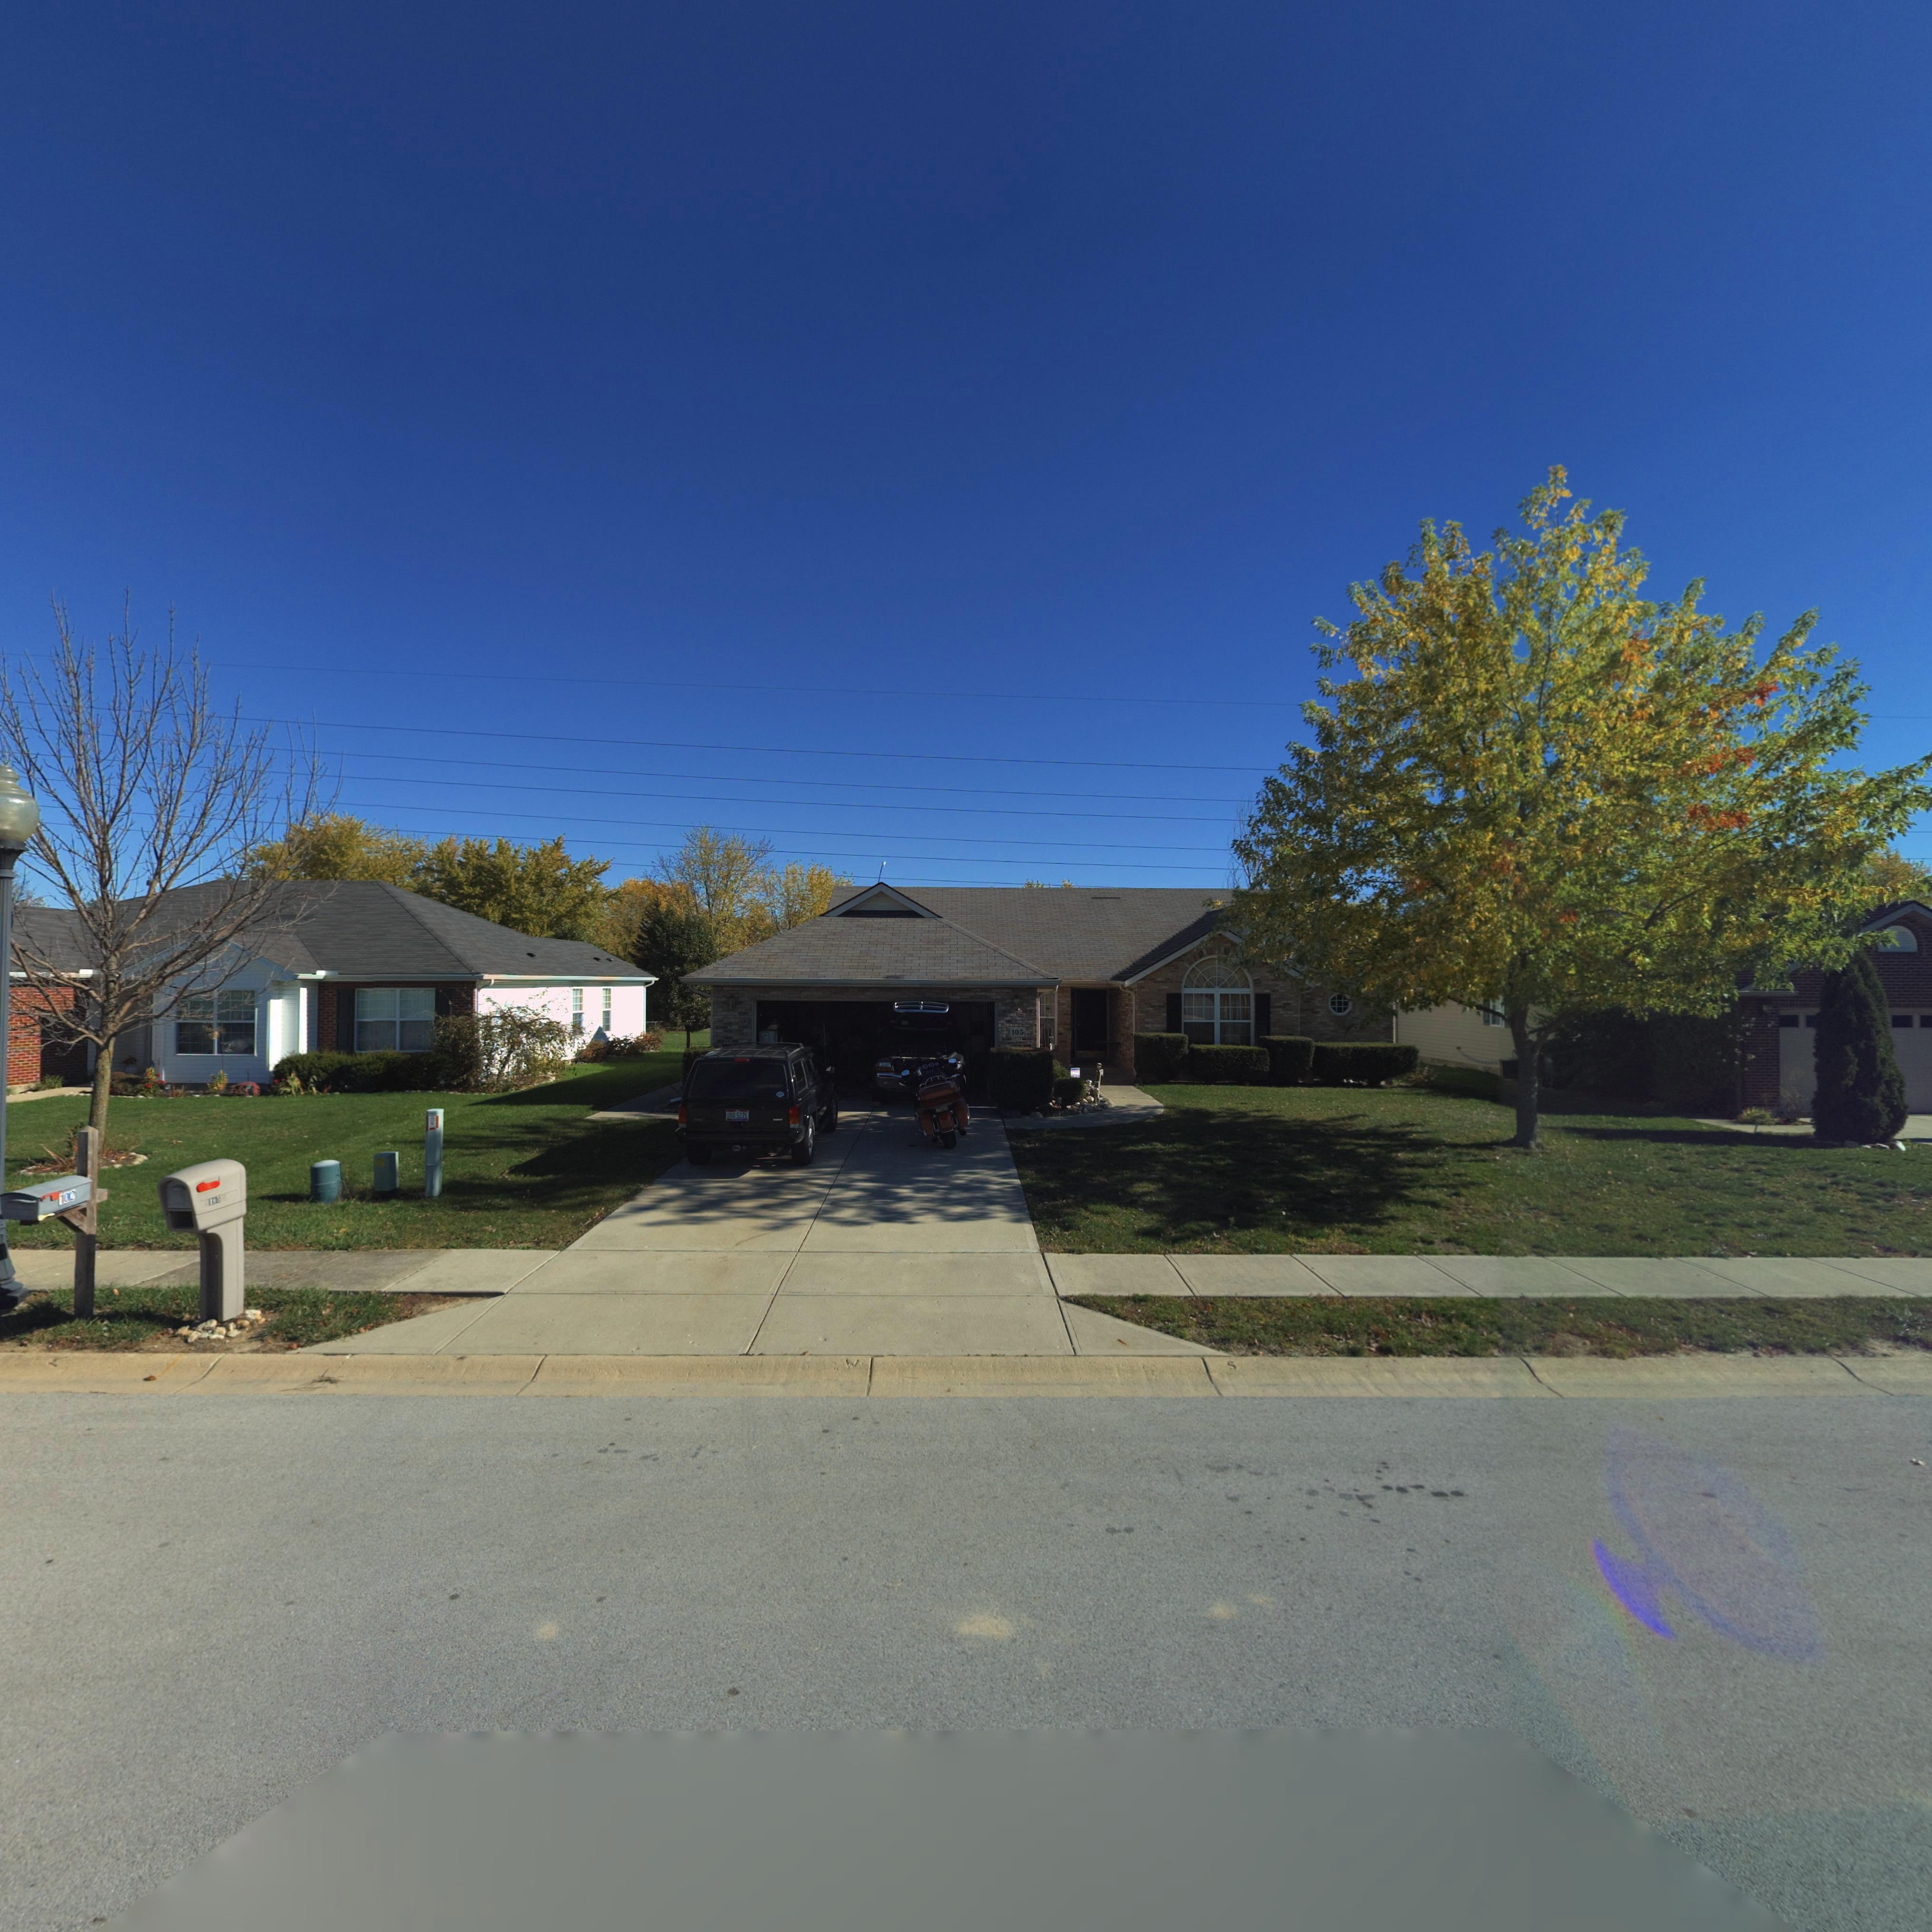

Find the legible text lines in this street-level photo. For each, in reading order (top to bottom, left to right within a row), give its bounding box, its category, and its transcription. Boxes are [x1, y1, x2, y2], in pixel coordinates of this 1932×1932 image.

[1011, 1028, 1024, 1036] StreetNumber: 105
[59, 1188, 77, 1206] StreetNumber: 10*\
[208, 1193, 222, 1207] StreetNumber: 1*5